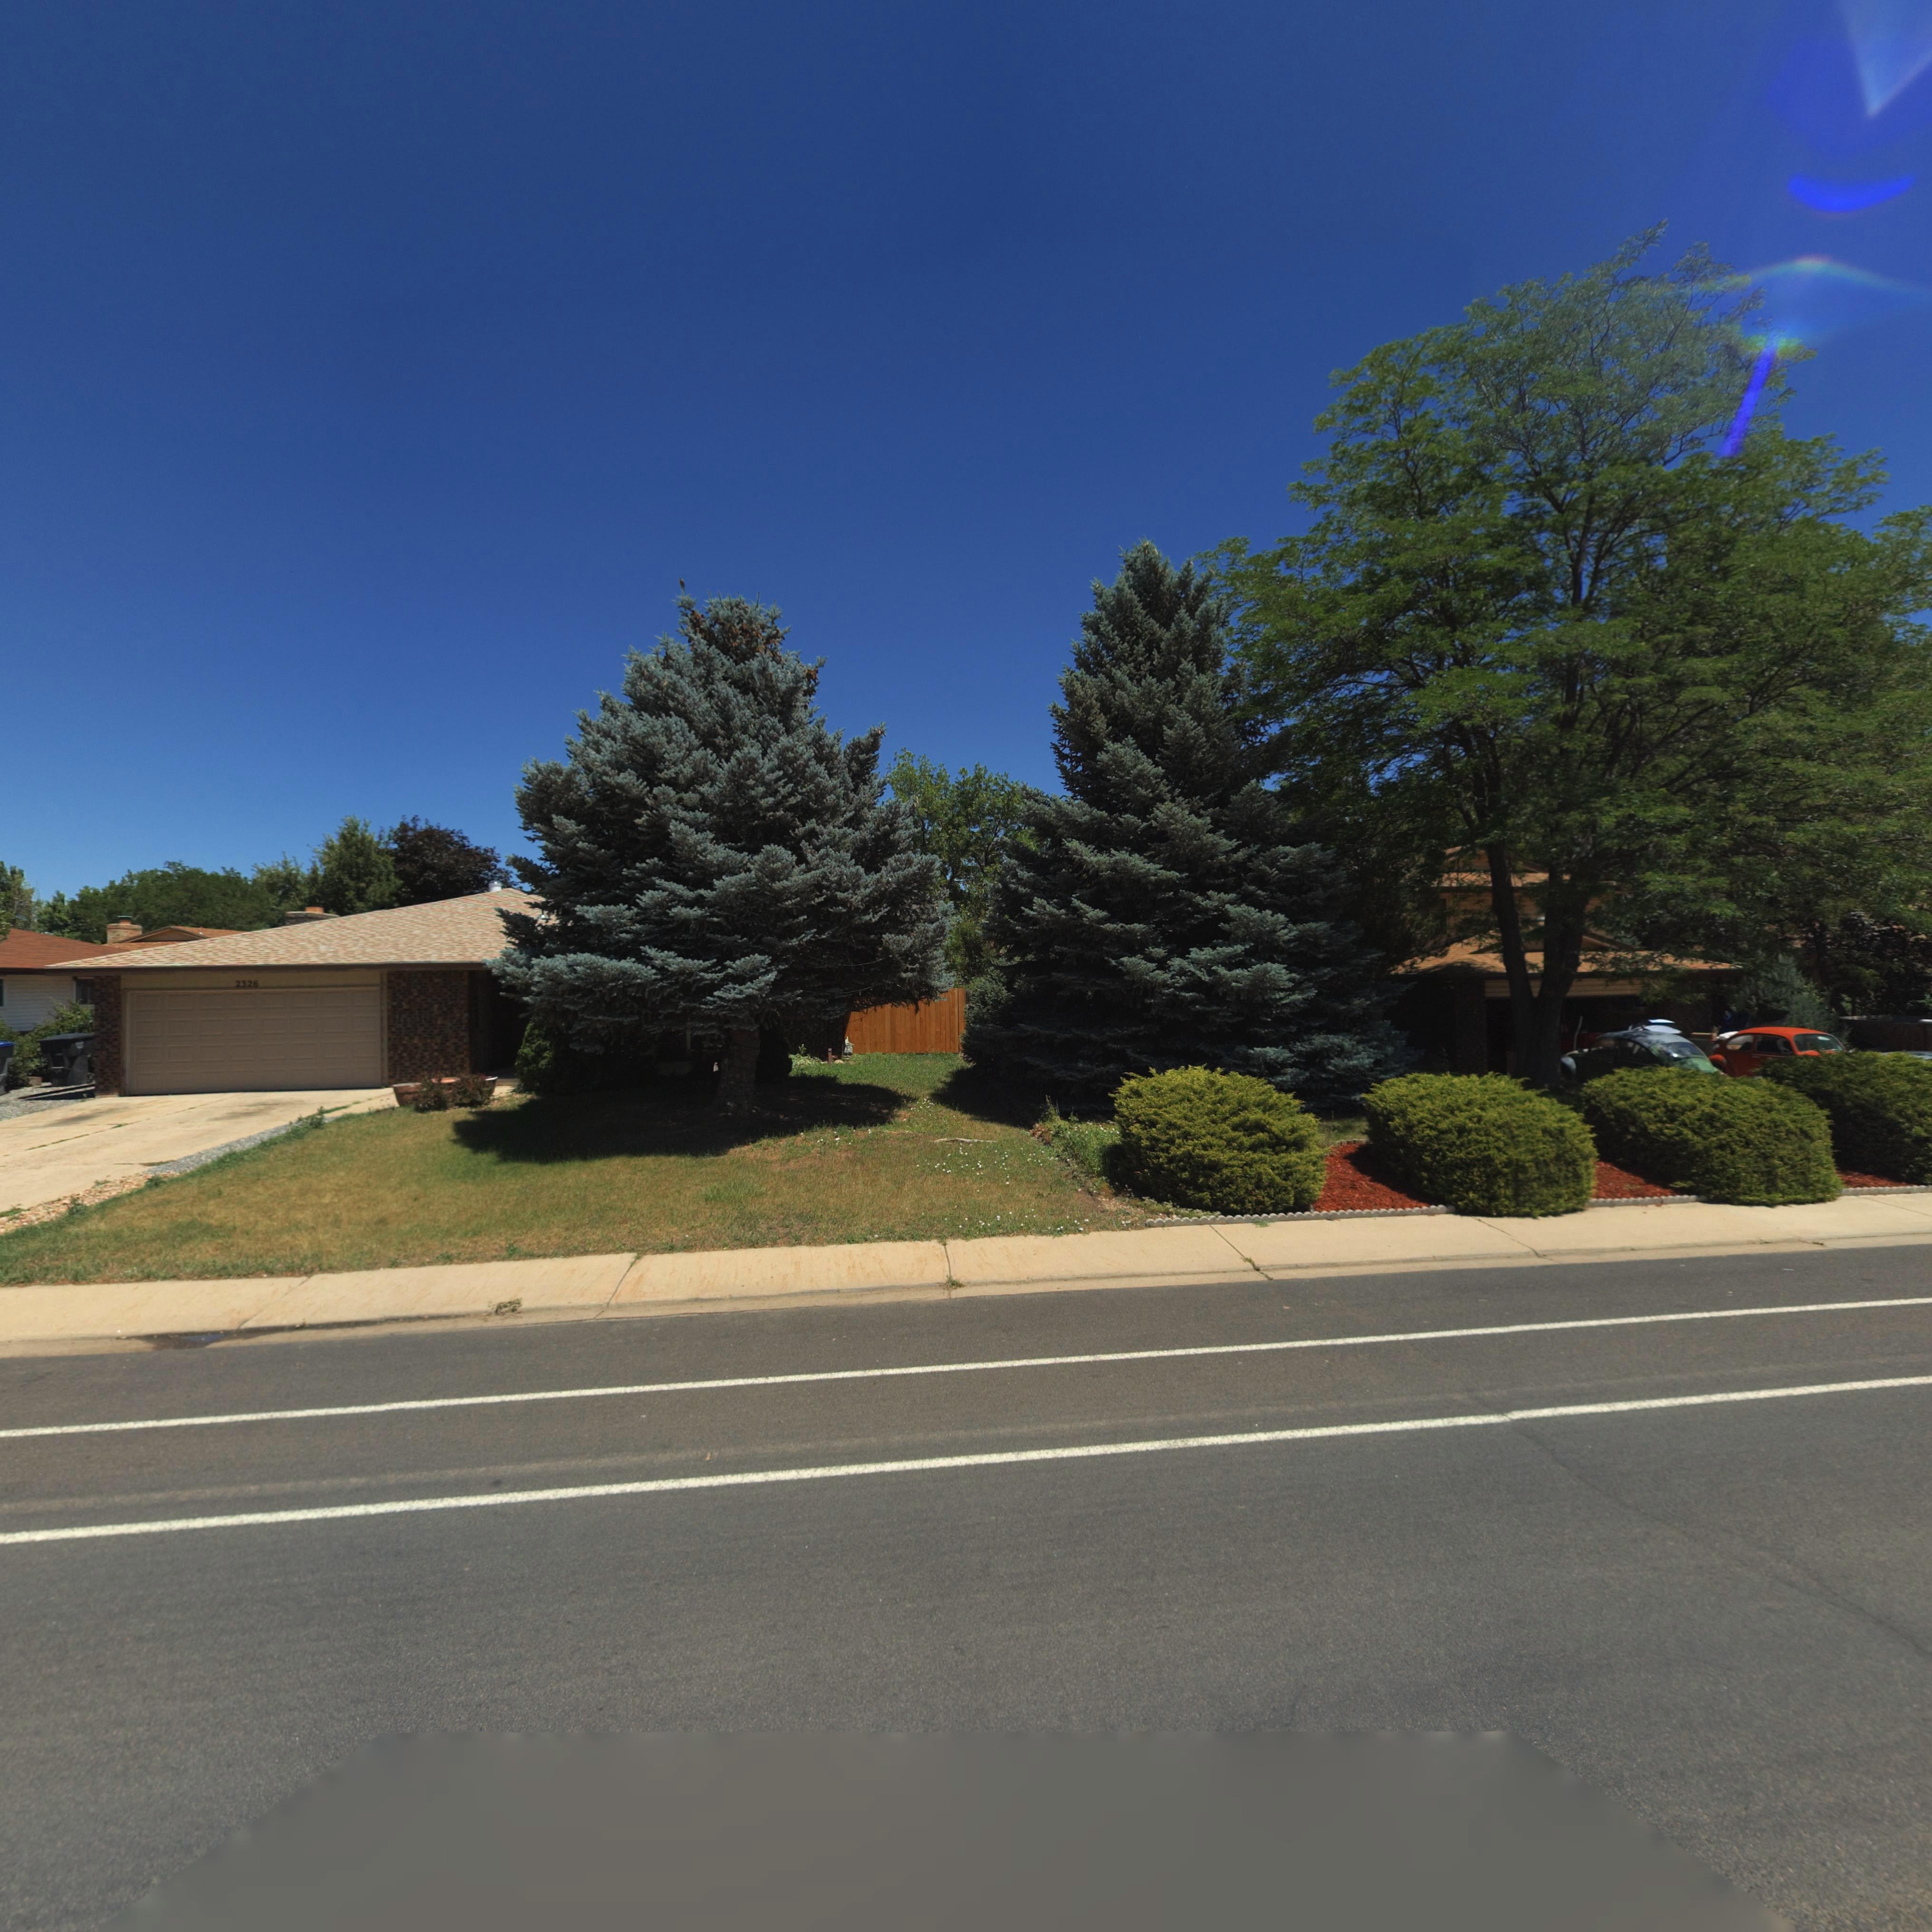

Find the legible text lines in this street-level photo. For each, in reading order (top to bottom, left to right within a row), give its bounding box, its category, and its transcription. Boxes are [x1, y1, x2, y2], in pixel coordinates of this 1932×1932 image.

[235, 980, 259, 988] StreetNumber: 2326